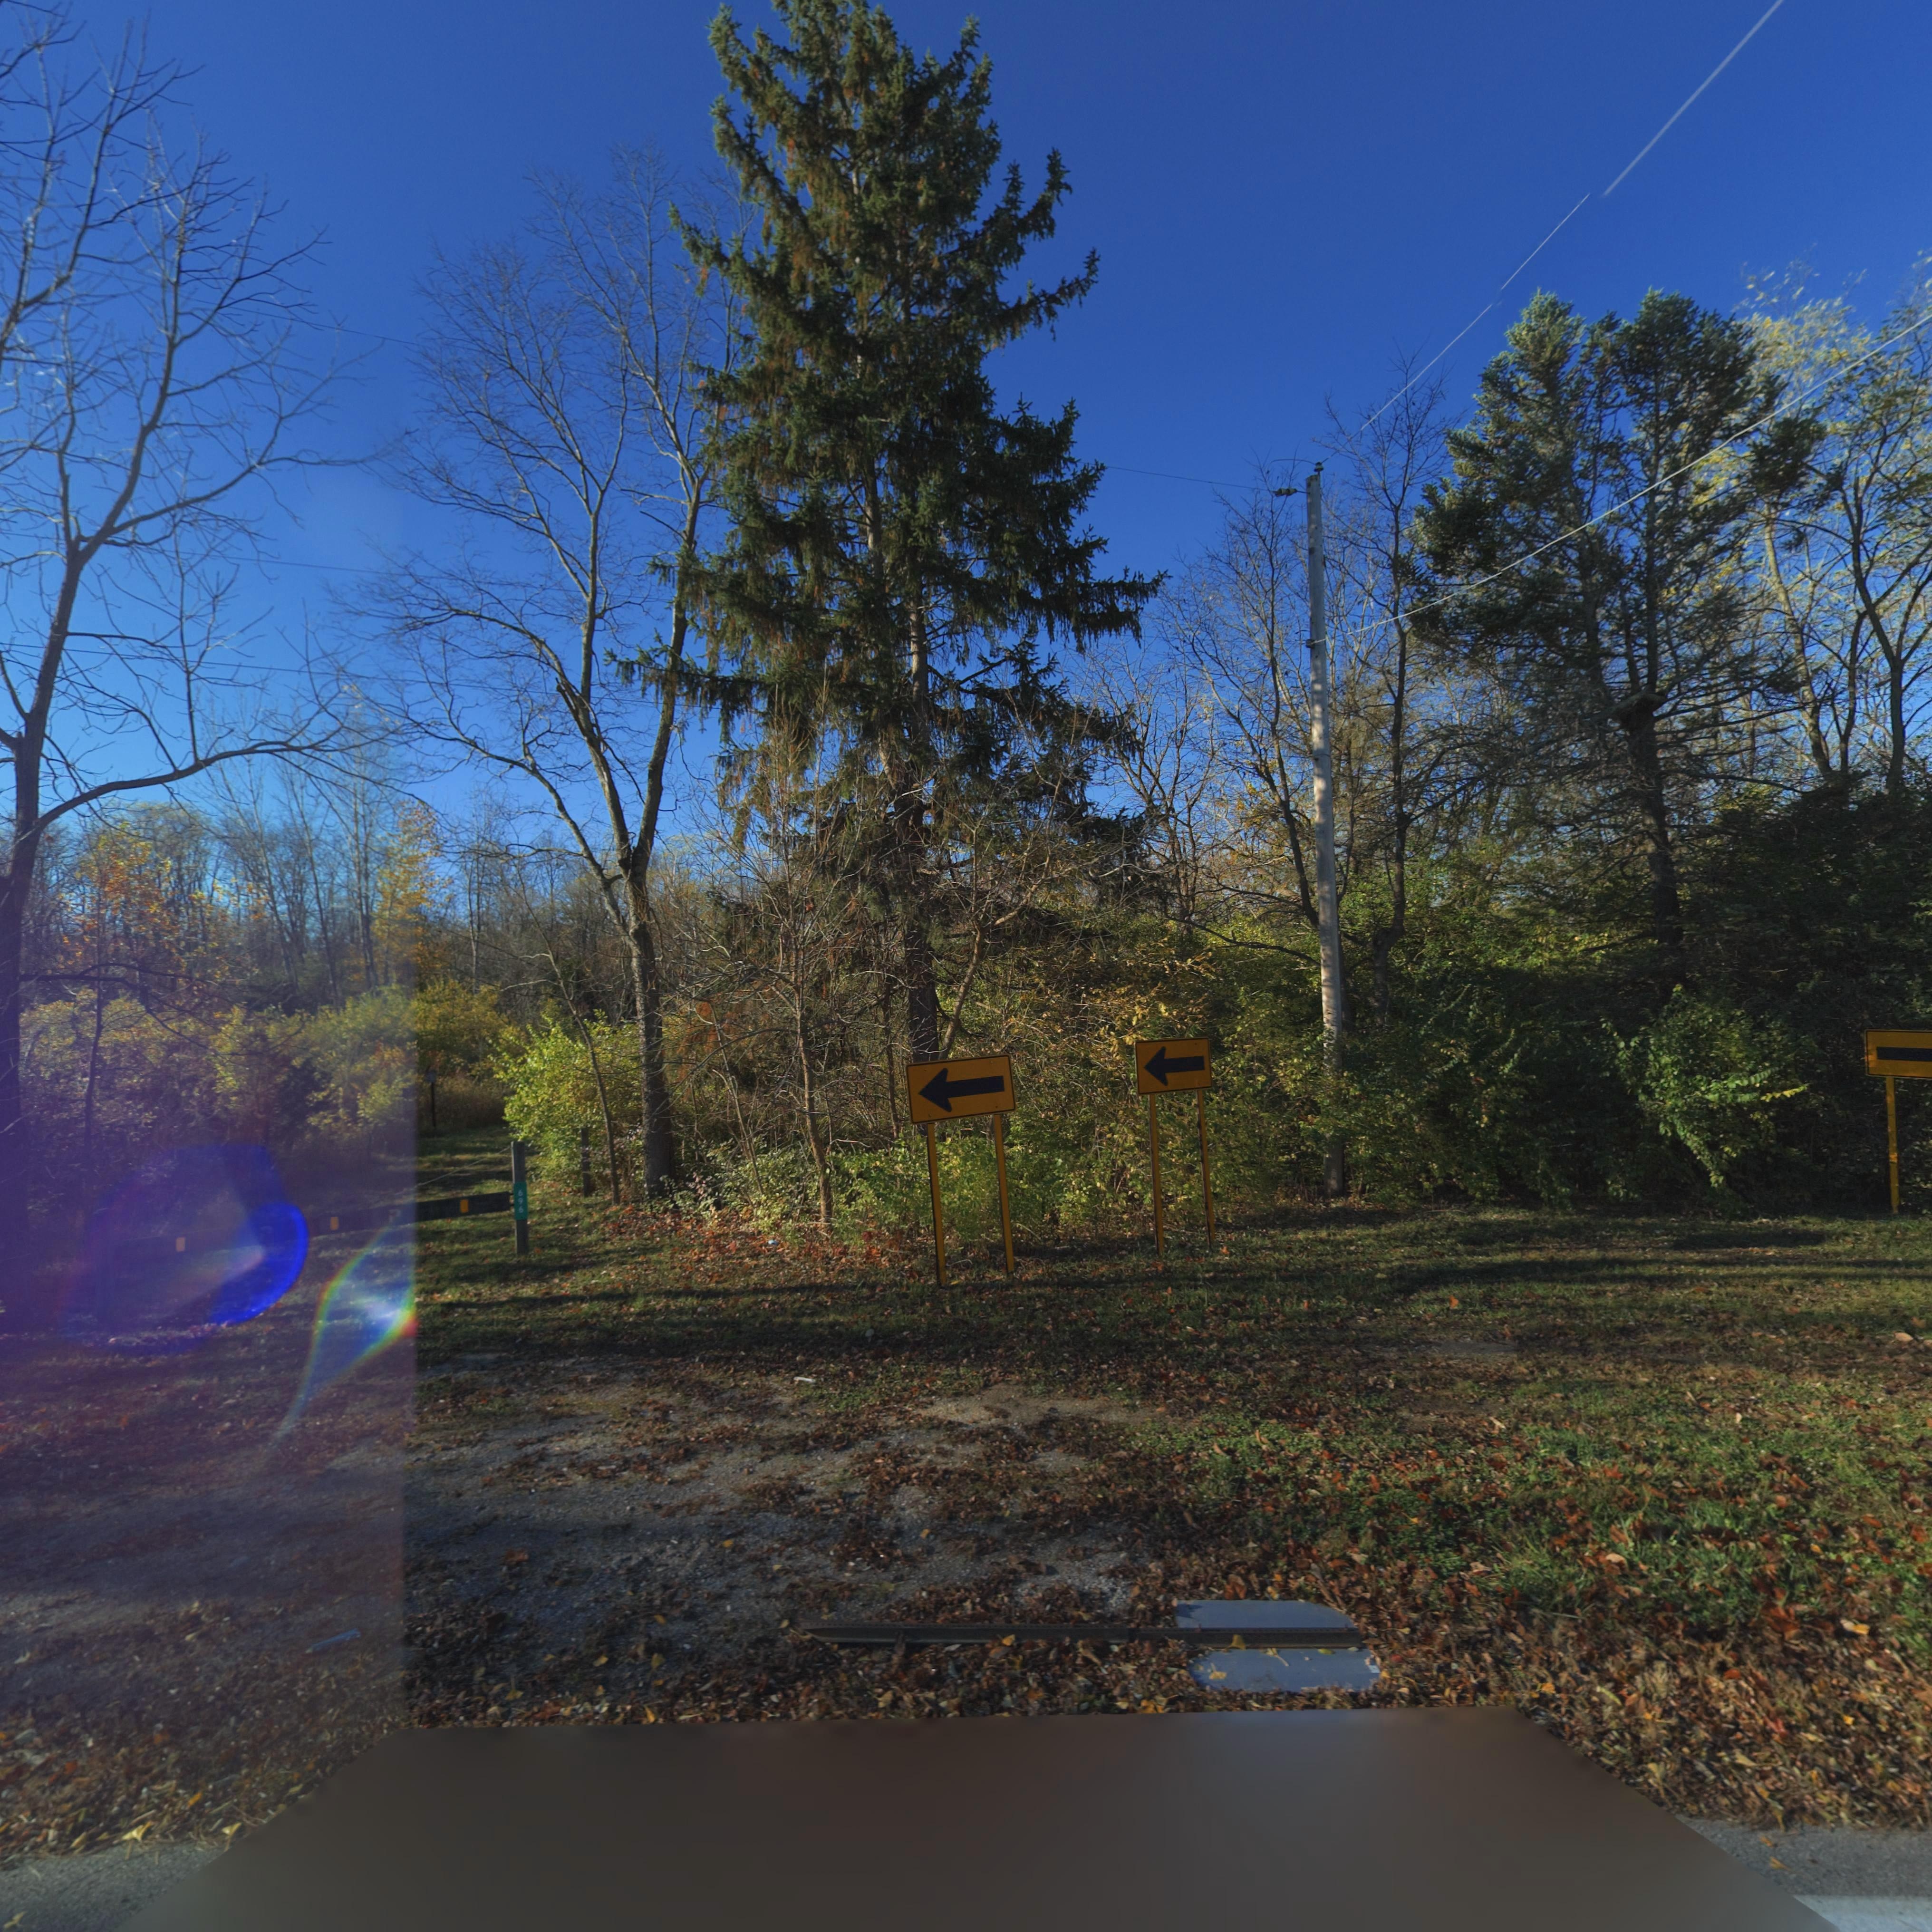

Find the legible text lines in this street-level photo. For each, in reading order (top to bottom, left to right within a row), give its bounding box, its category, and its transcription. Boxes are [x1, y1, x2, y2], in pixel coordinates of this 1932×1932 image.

[518, 1188, 525, 1215] StreetNumber: 696